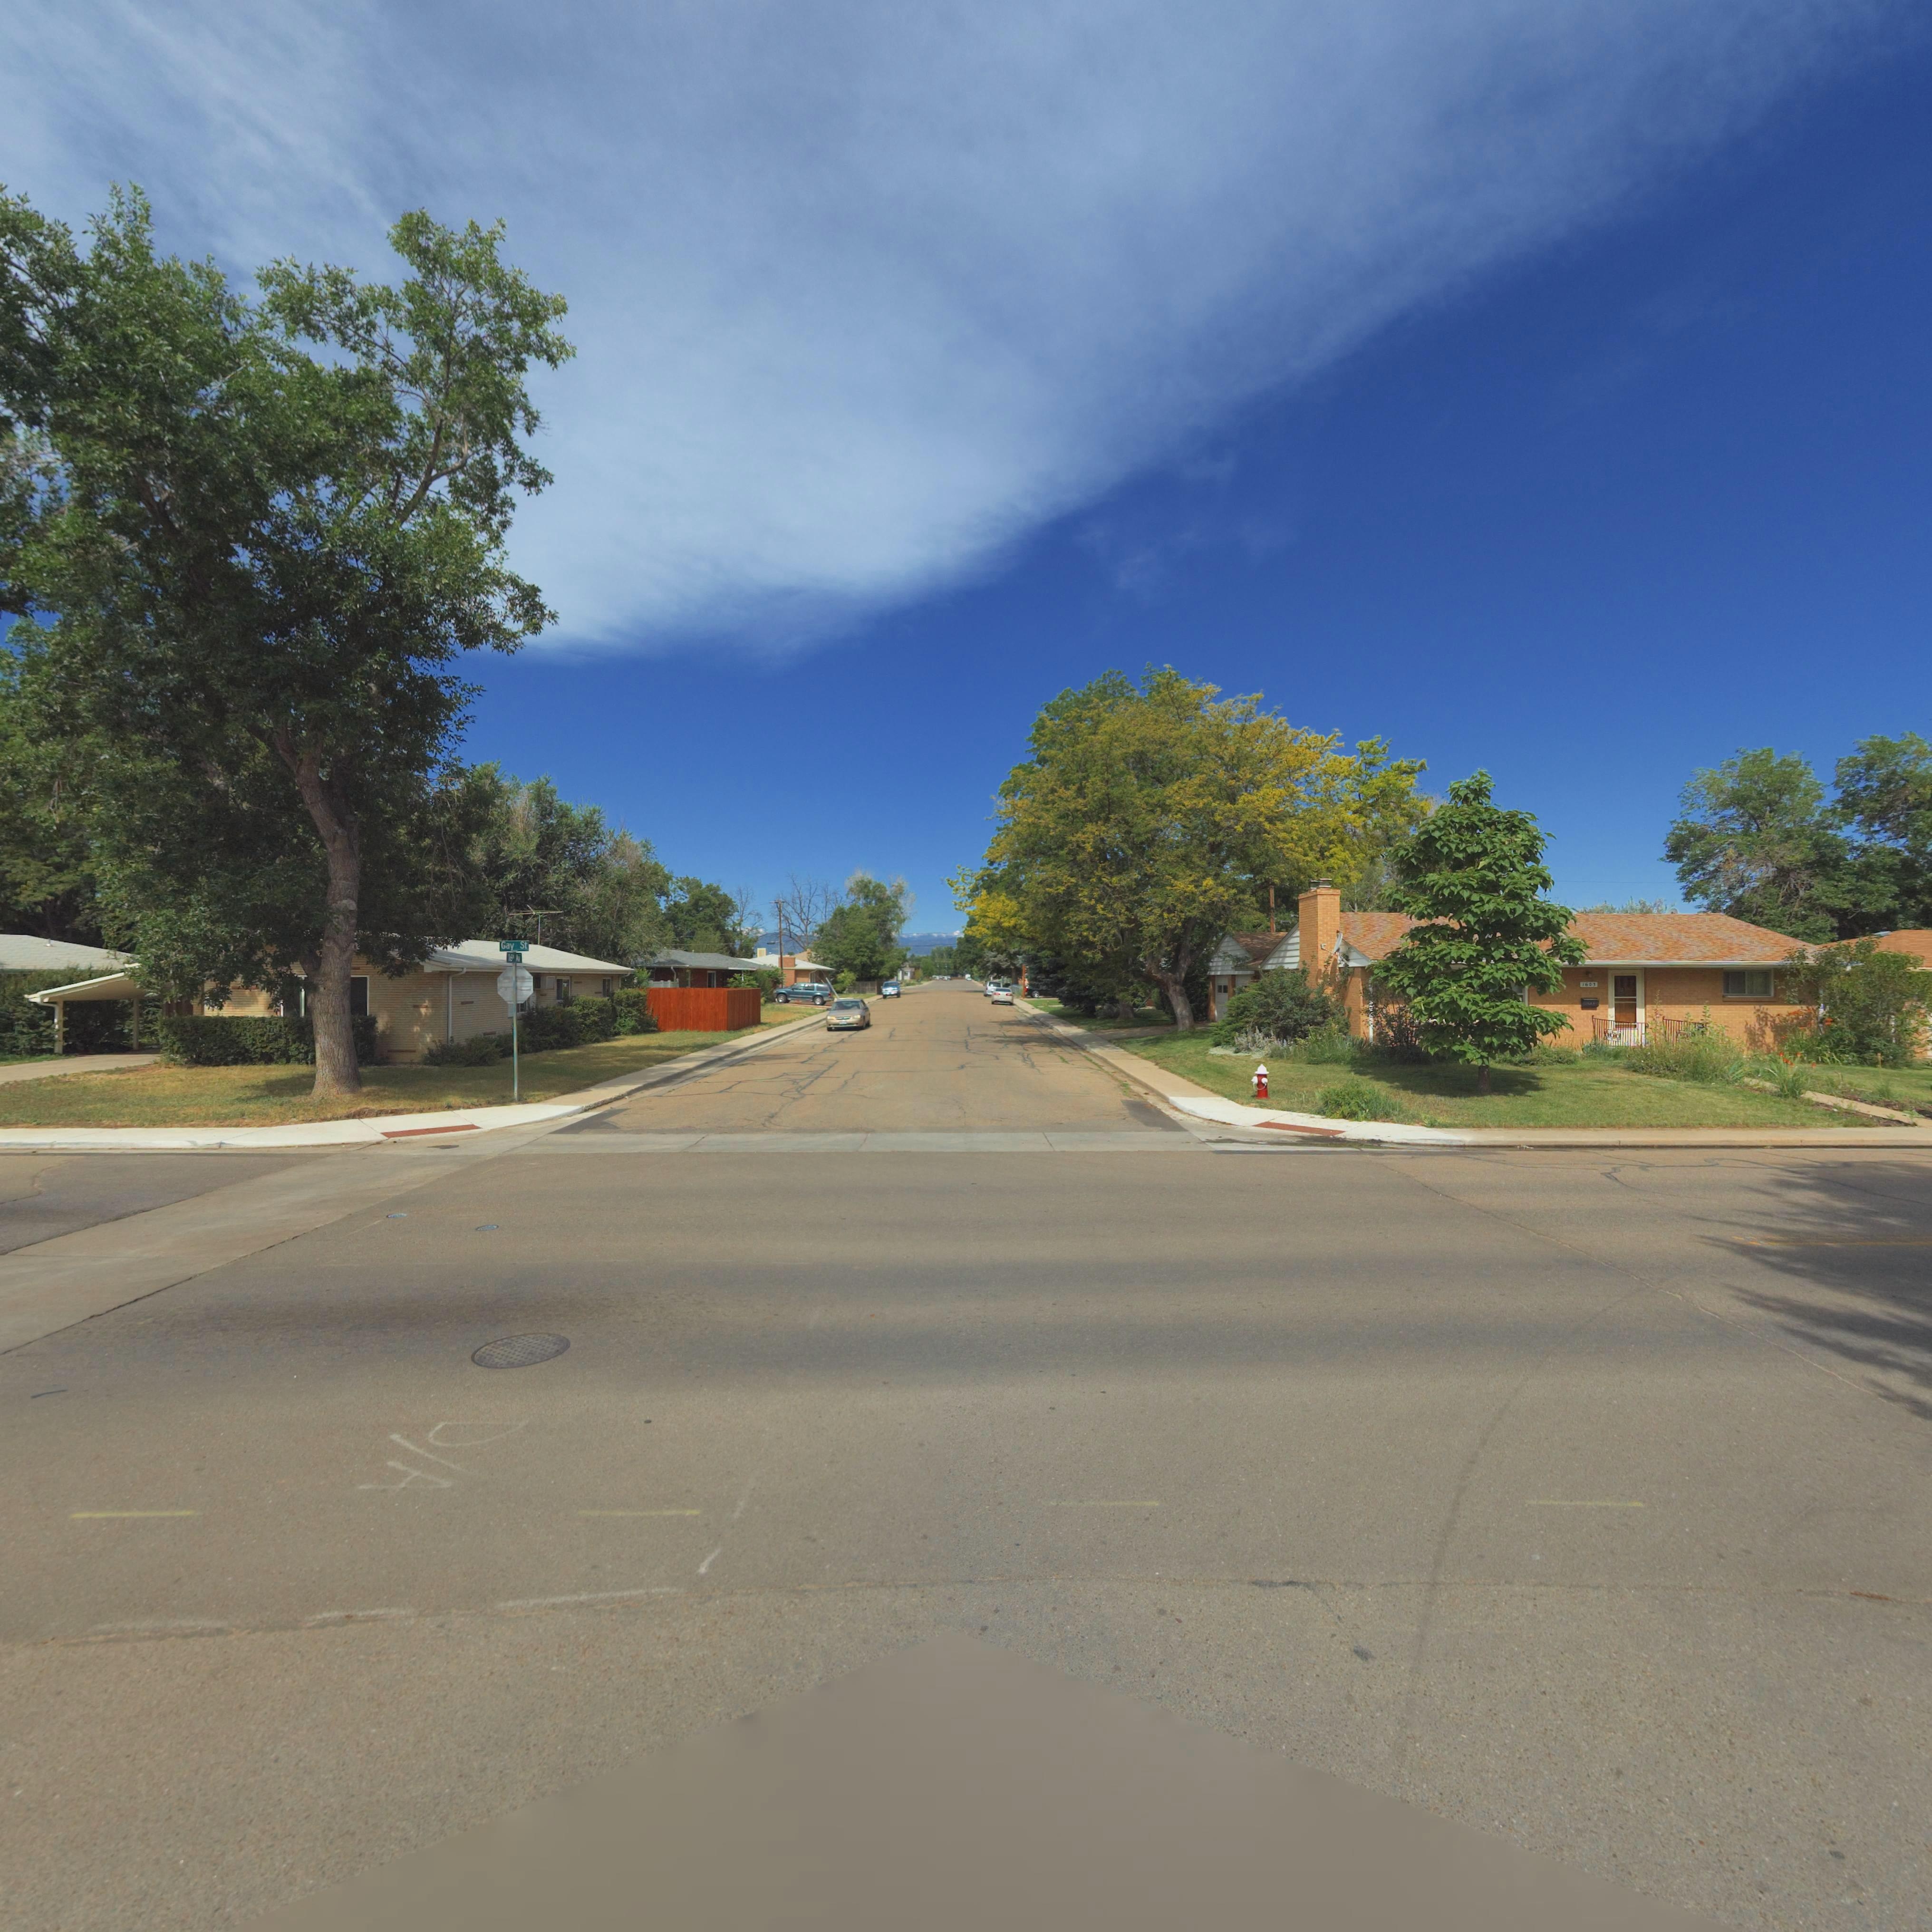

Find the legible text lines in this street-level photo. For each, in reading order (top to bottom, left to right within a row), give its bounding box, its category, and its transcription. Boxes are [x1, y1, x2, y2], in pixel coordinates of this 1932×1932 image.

[500, 940, 528, 952] StreetName: Gay St
[508, 953, 520, 962] StreetName: 16th A*
[1581, 982, 1595, 986] StreetNumber: 1603